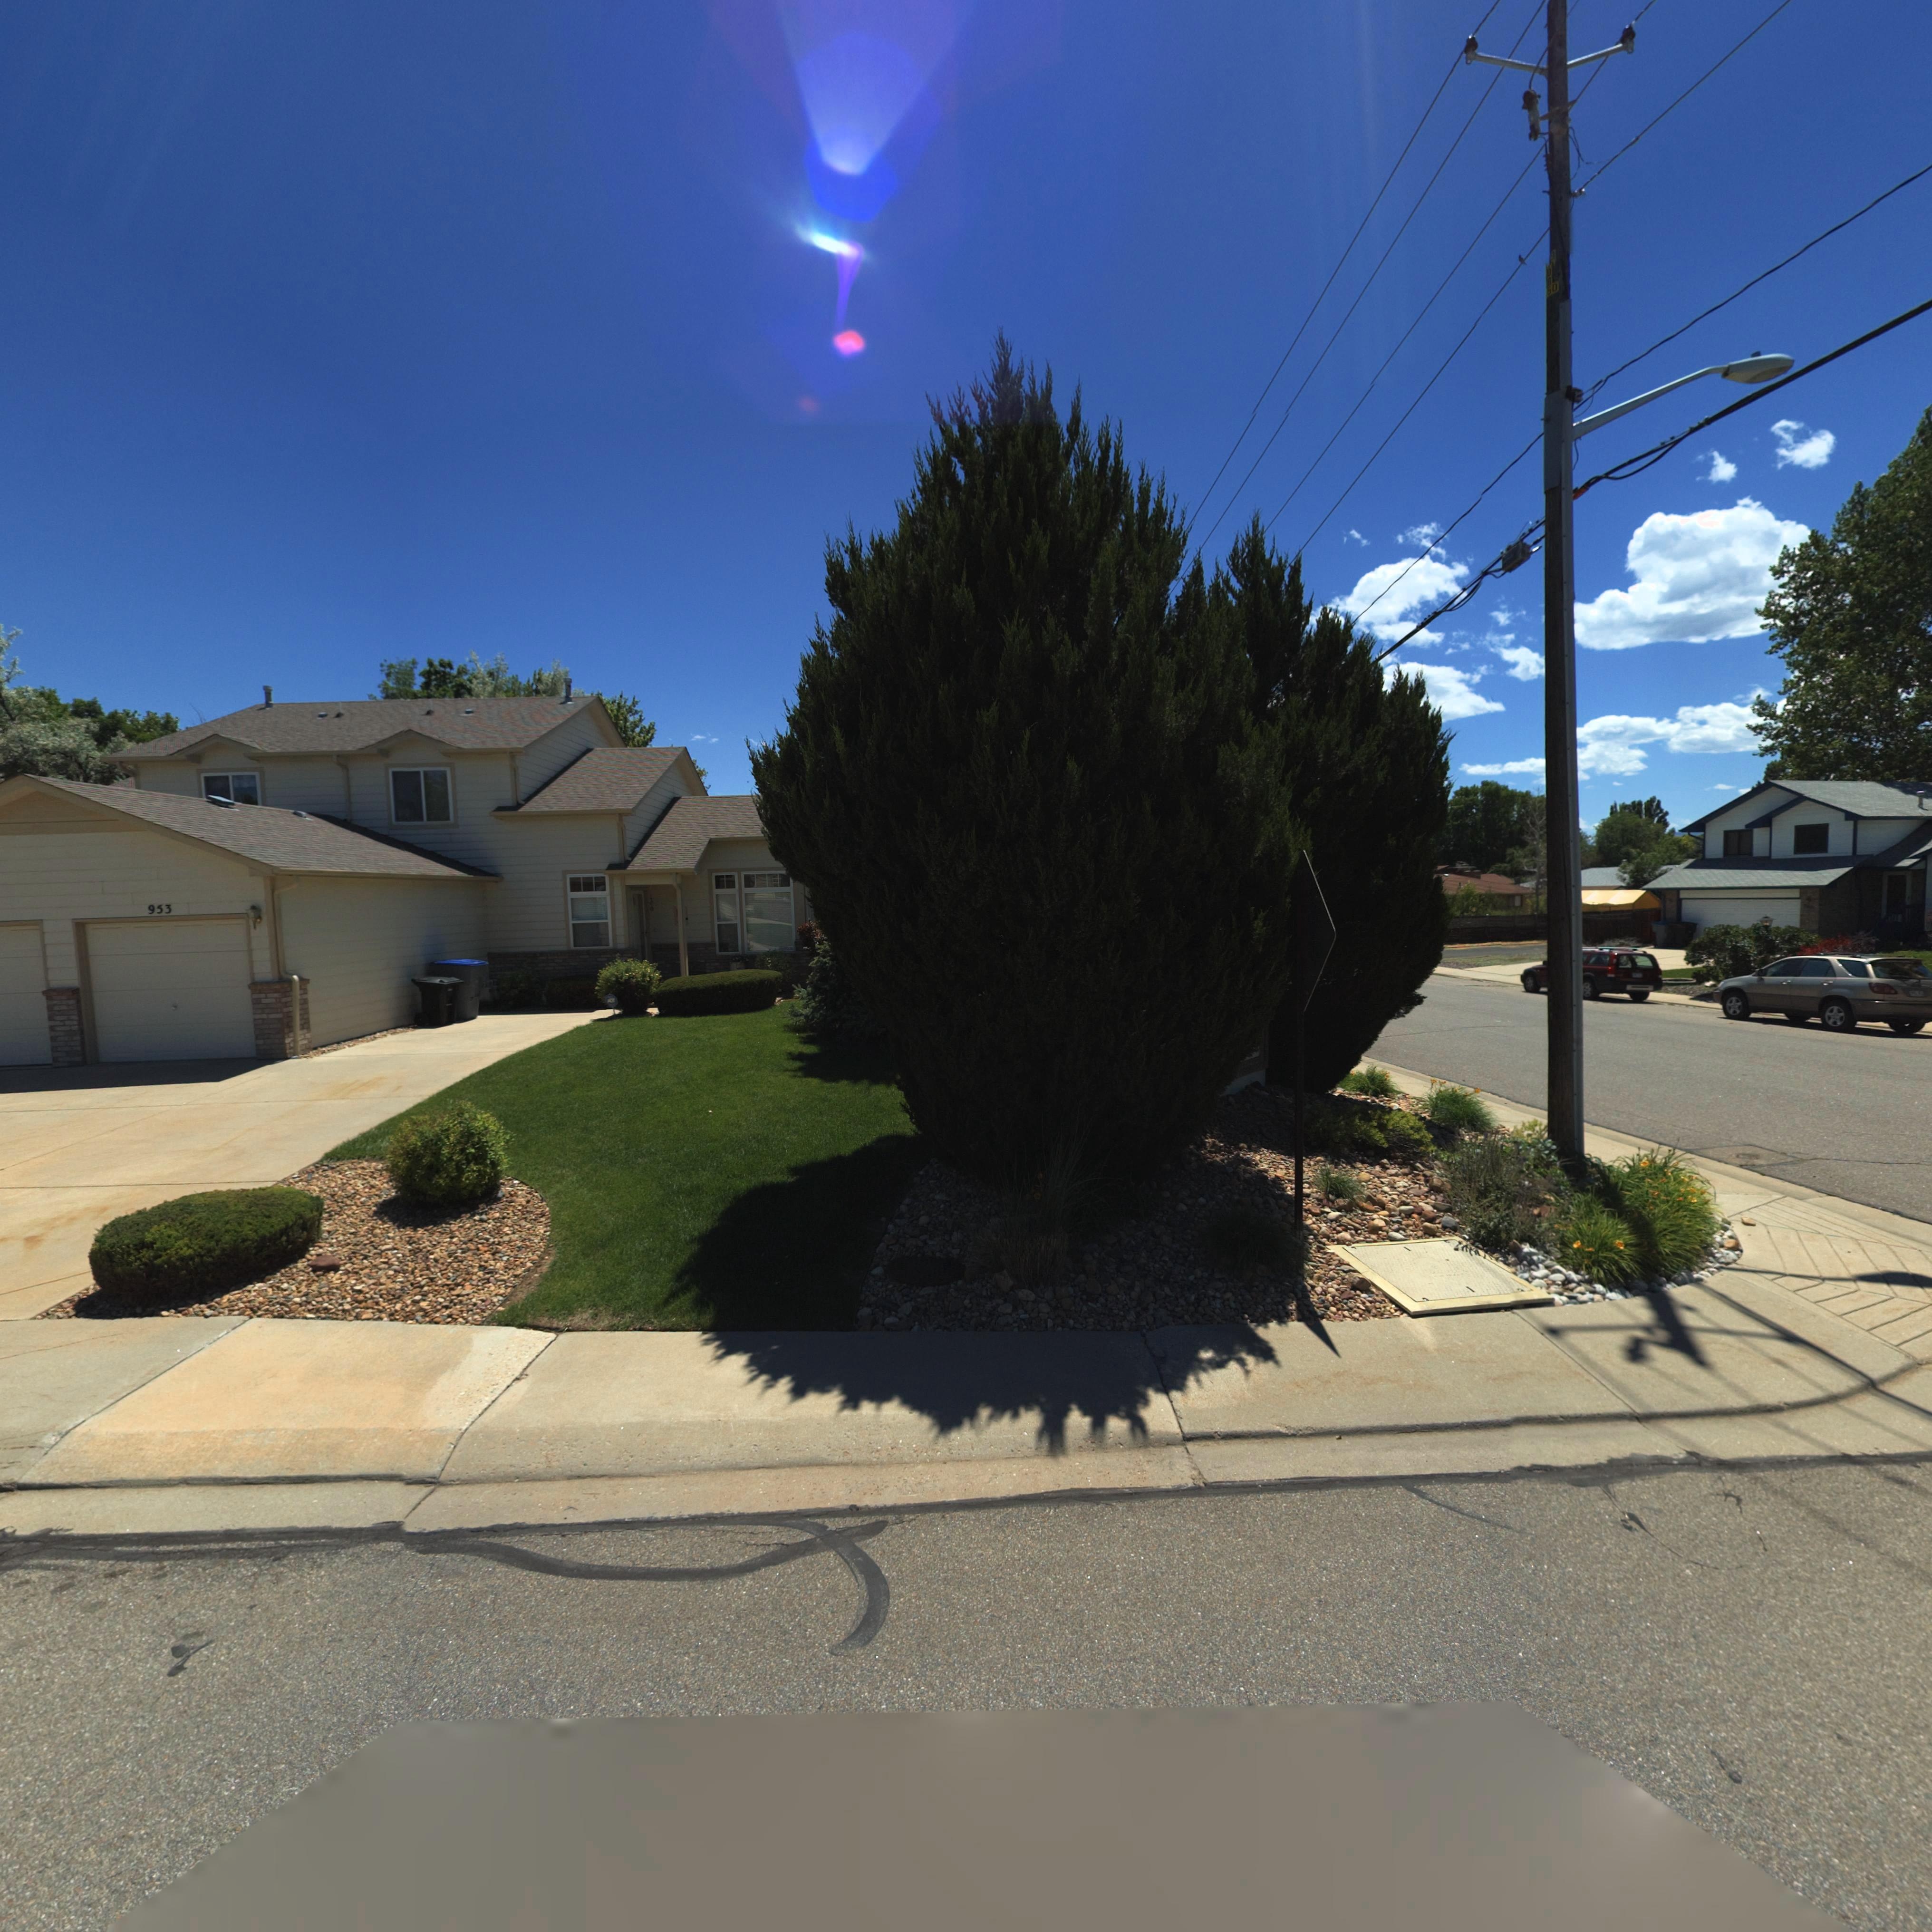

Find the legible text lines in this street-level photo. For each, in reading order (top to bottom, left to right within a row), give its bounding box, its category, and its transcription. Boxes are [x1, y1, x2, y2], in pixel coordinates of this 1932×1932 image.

[147, 904, 172, 914] StreetNumber: 953